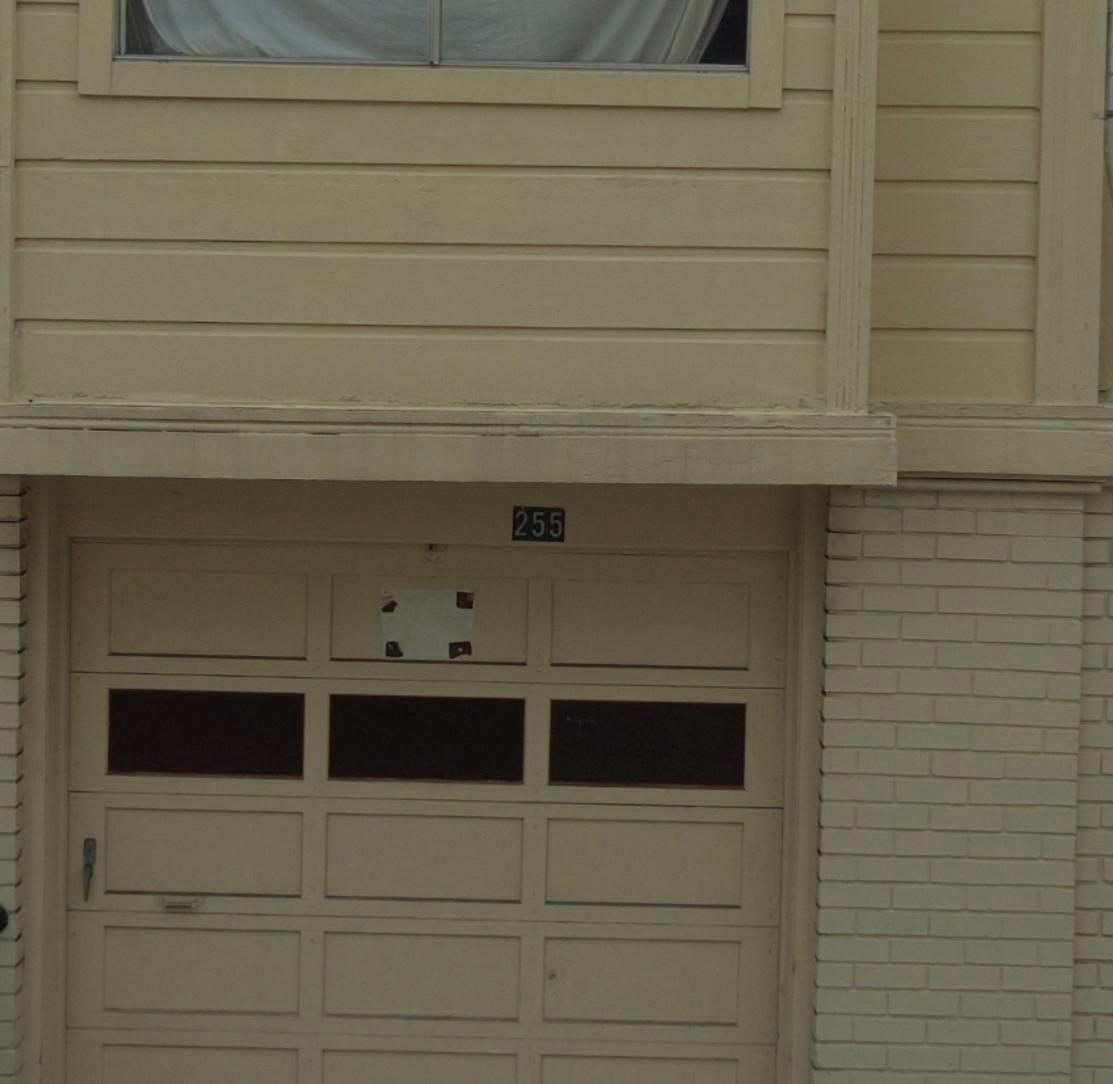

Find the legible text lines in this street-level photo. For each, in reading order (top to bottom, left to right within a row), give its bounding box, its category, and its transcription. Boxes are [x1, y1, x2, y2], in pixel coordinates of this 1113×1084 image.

[513, 510, 564, 539] StreetNumber: 255